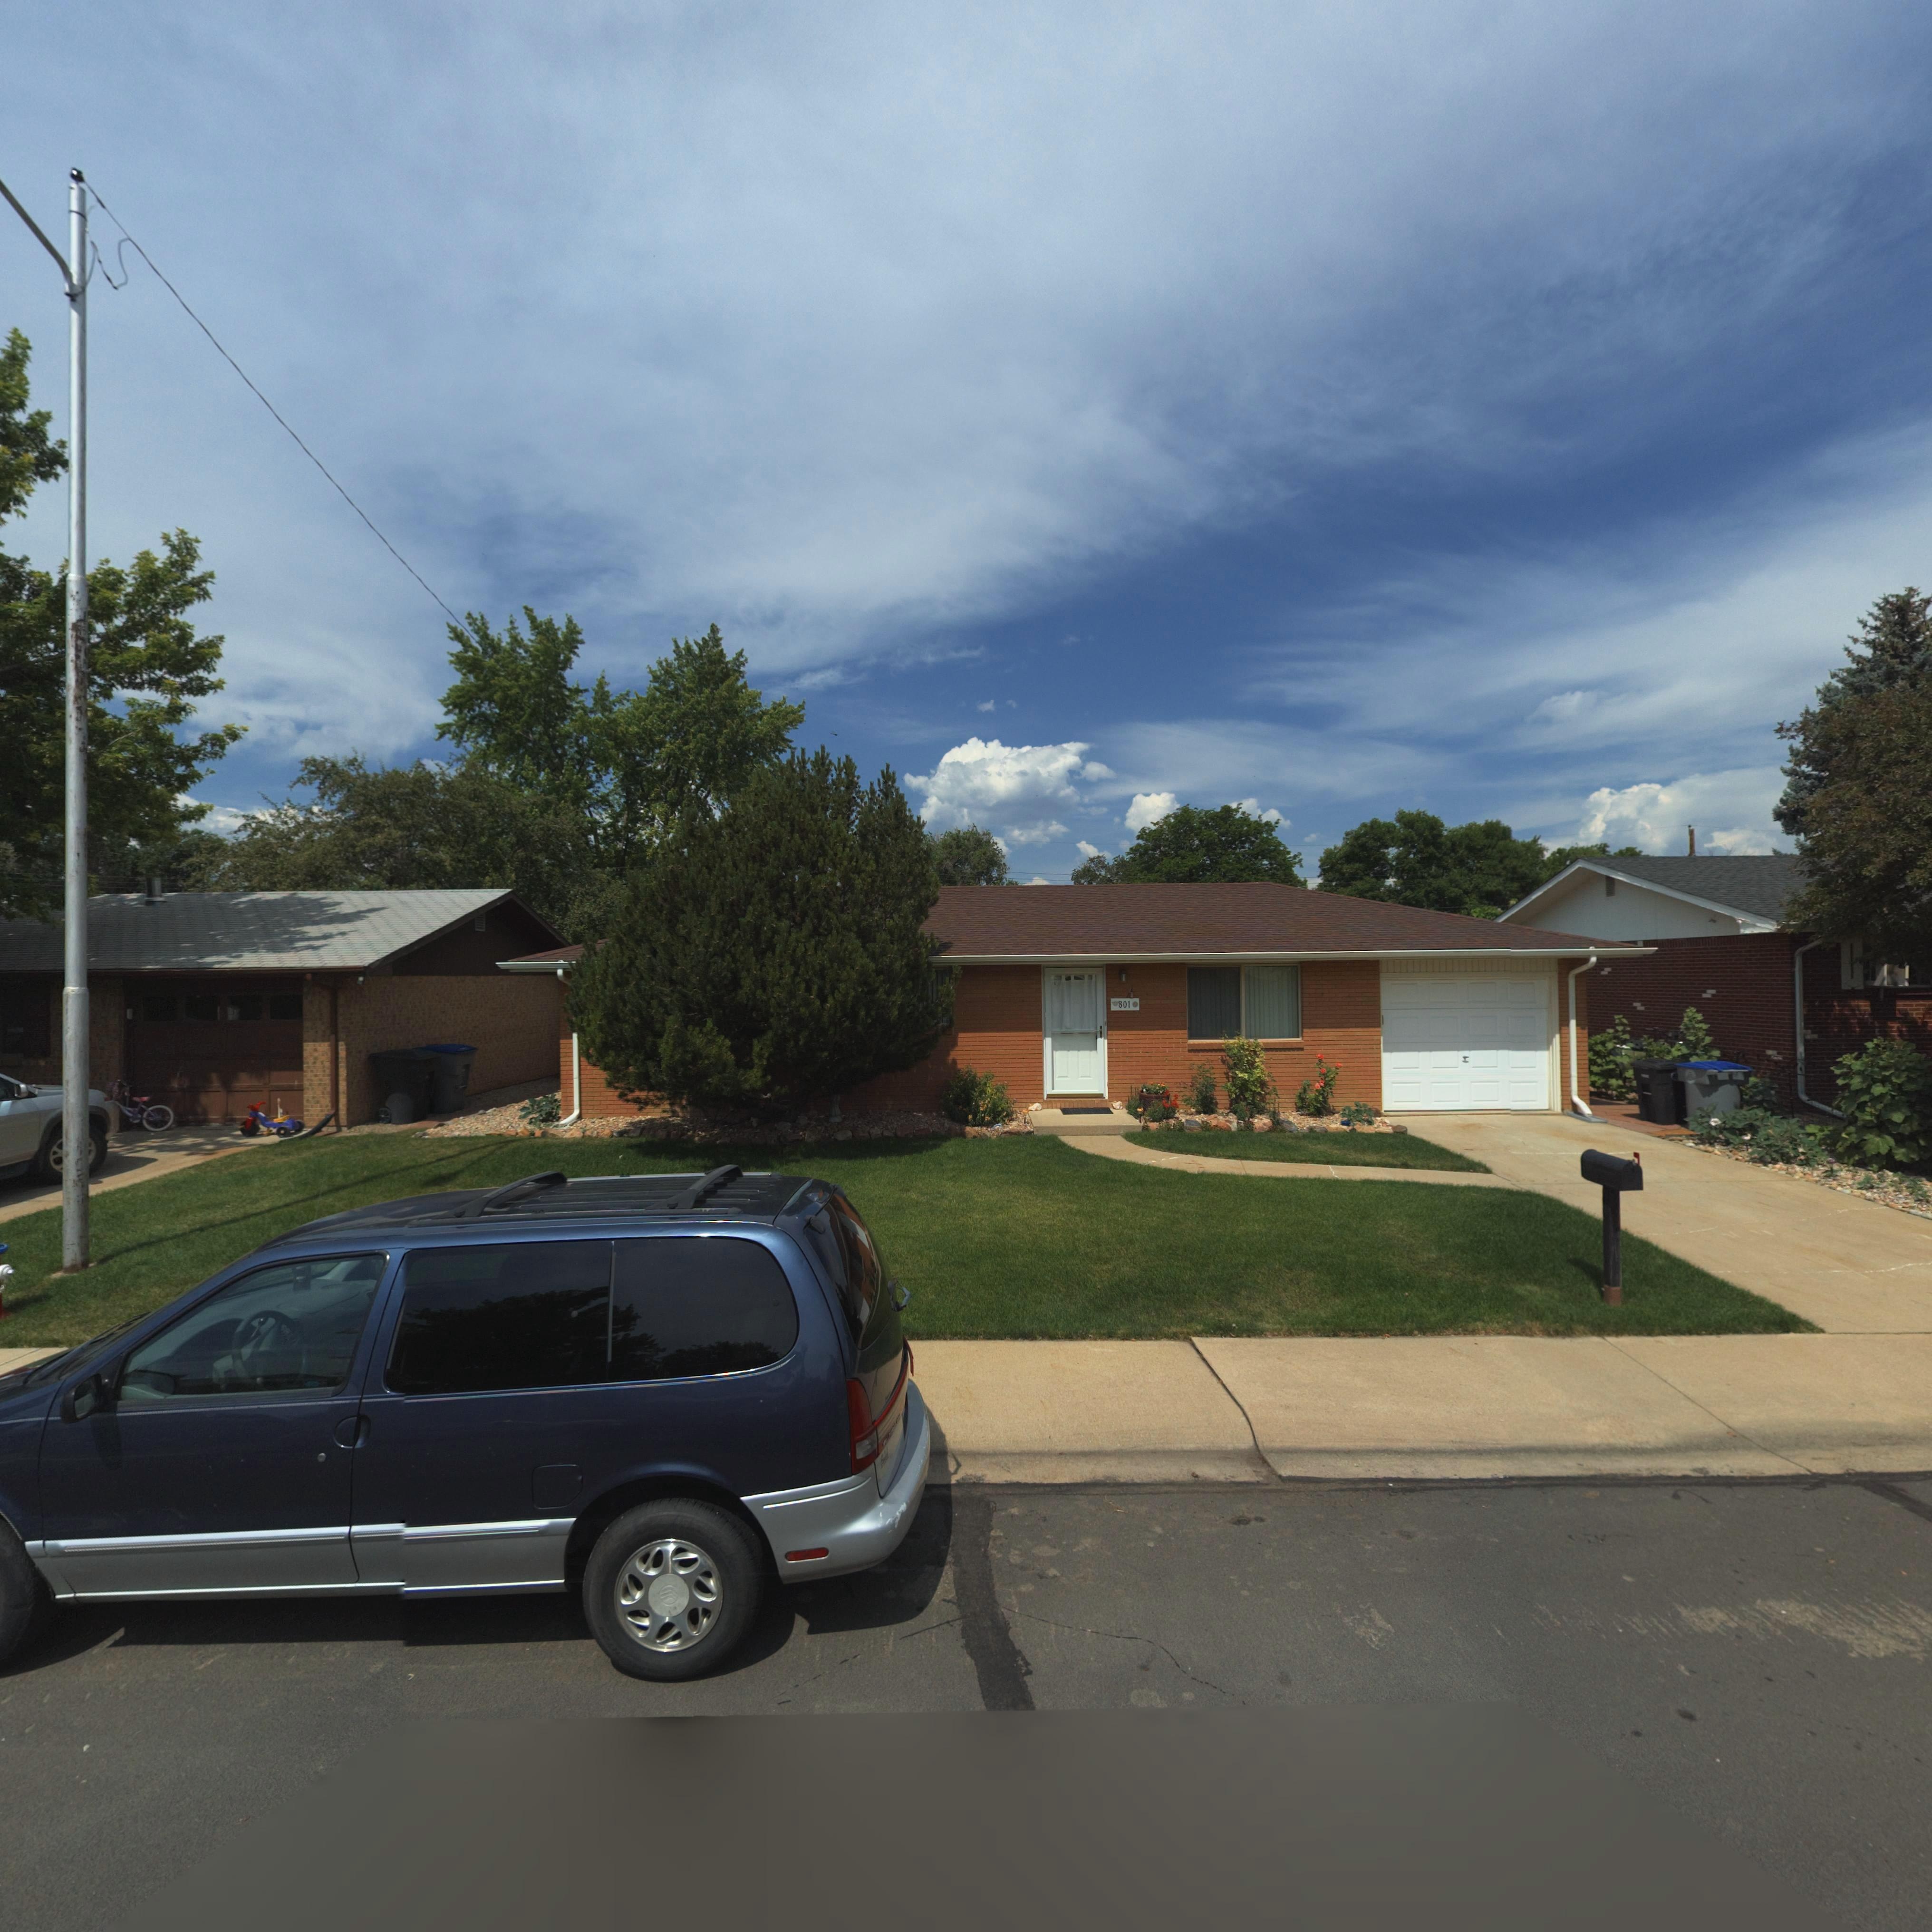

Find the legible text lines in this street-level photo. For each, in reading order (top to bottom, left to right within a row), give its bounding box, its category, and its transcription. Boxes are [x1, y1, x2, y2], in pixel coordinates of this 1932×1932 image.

[1118, 1000, 1130, 1008] StreetNumber: 801